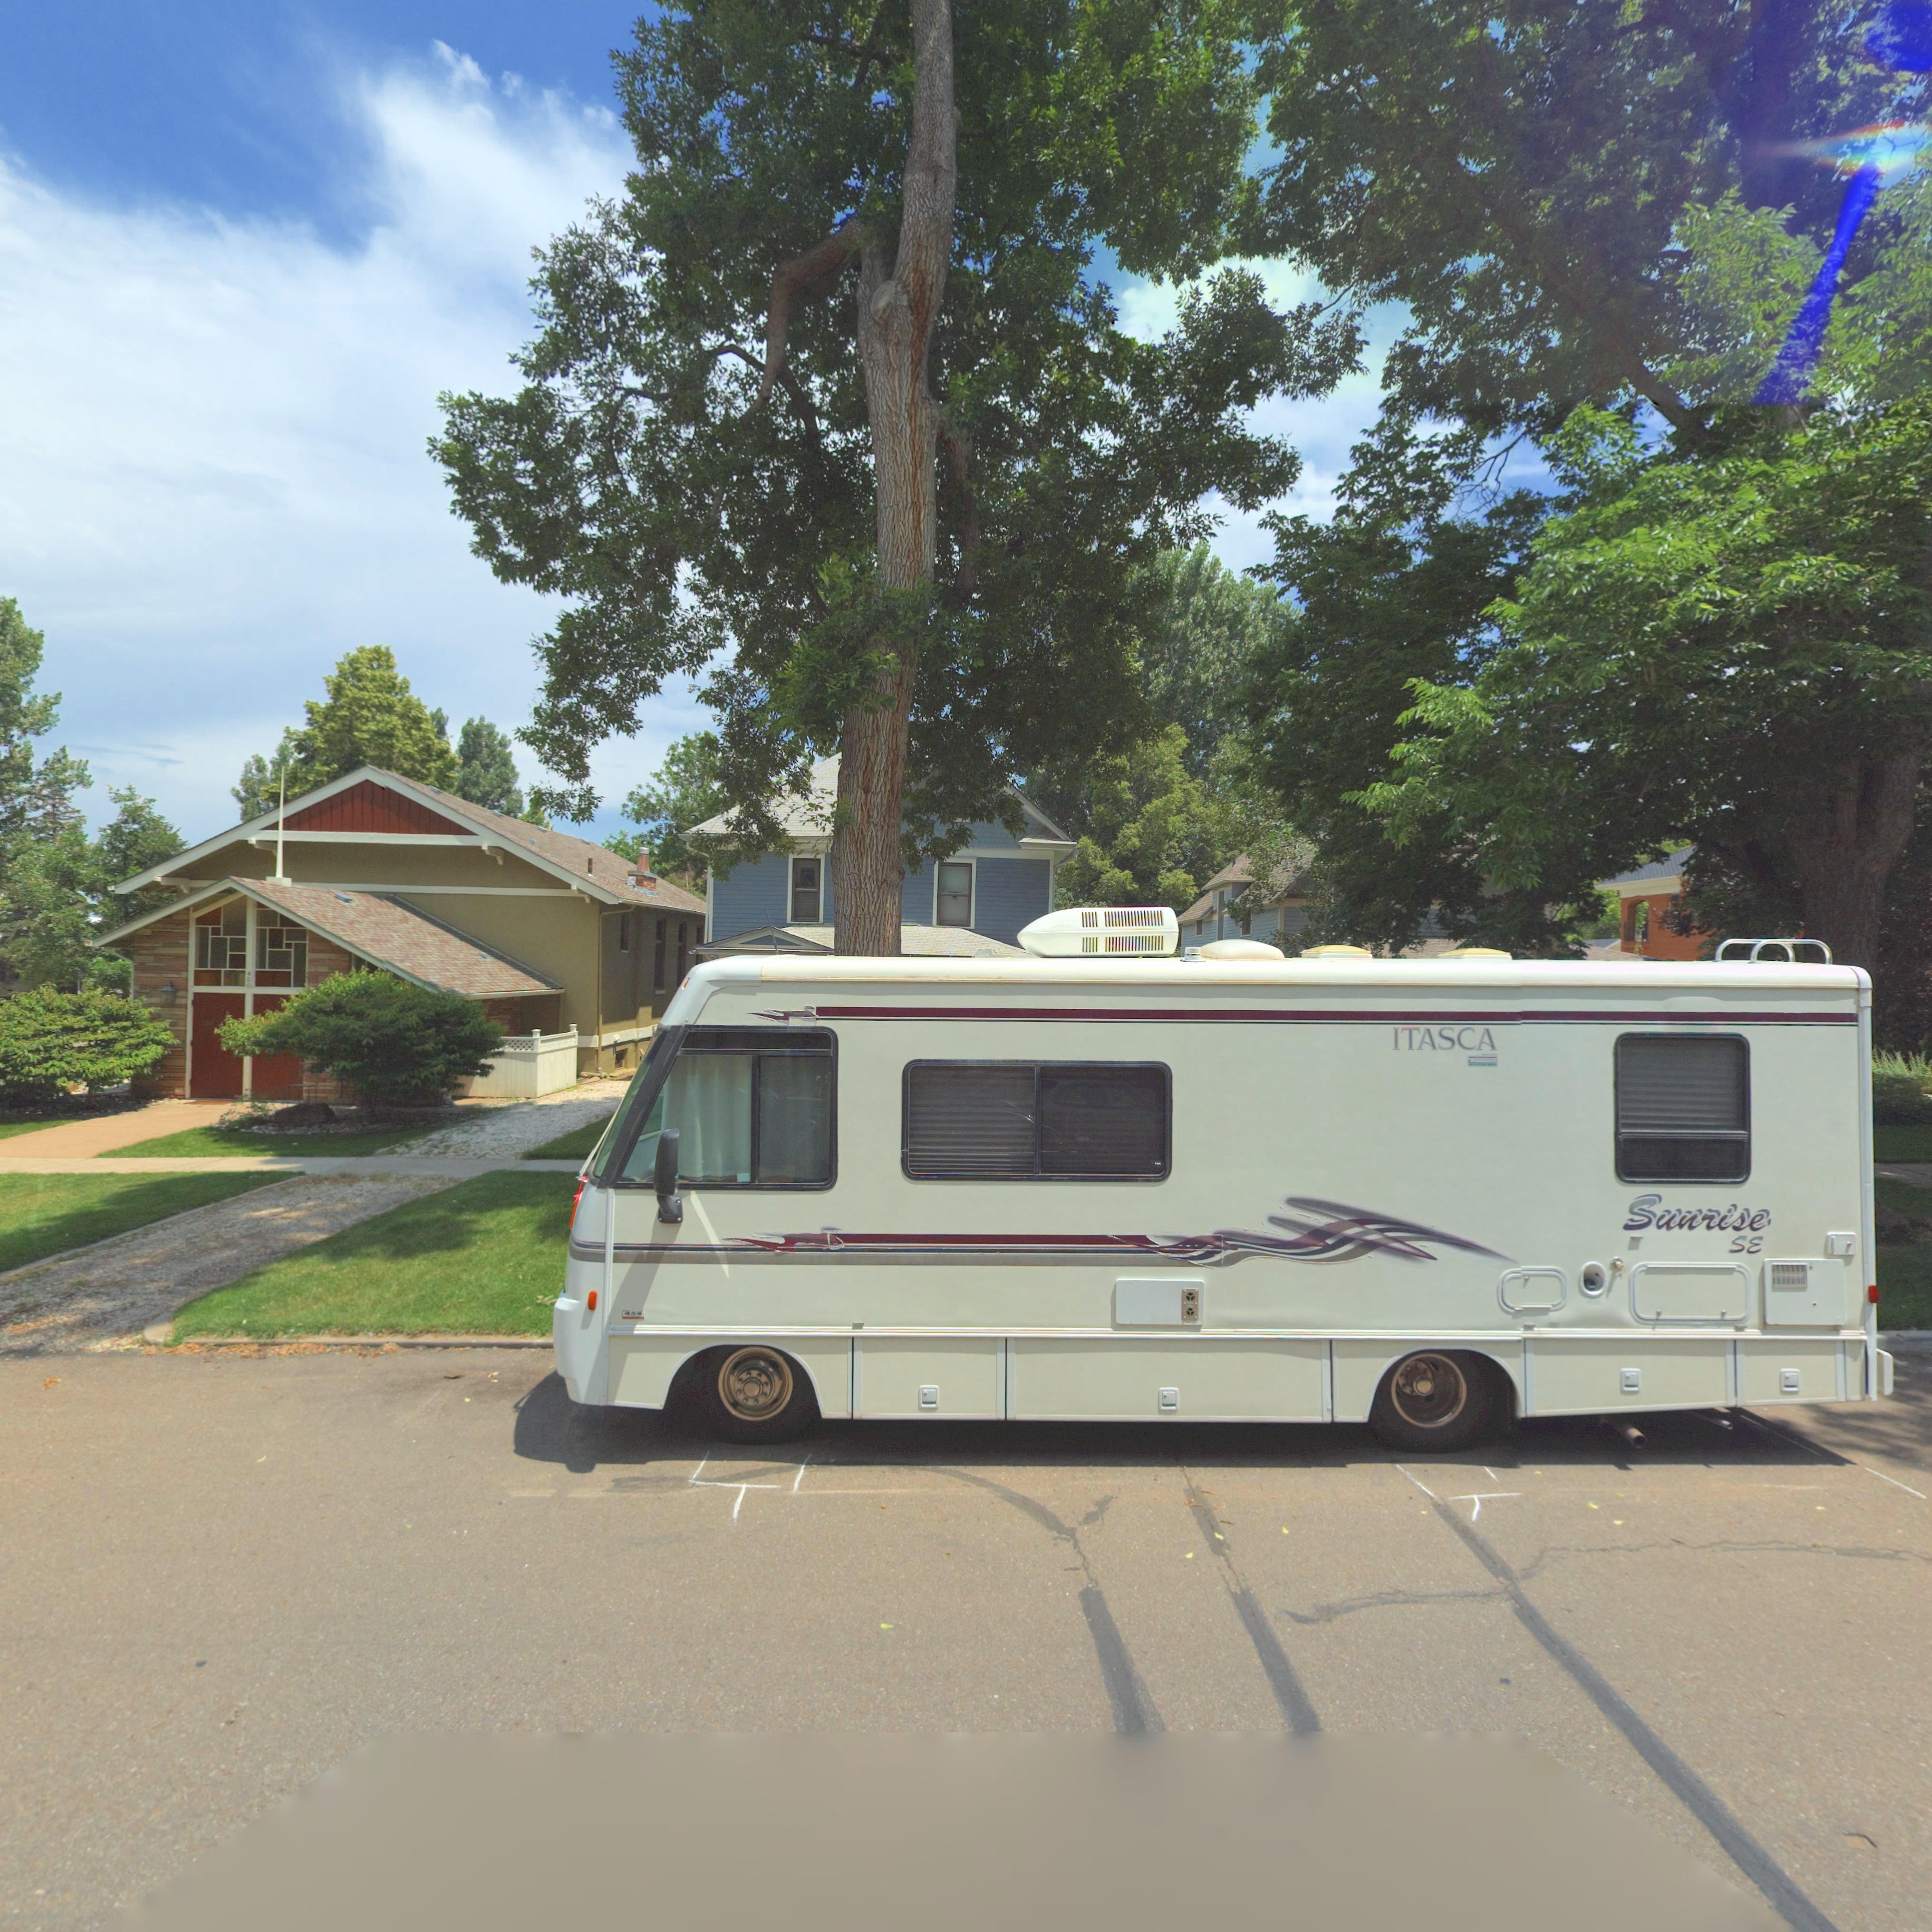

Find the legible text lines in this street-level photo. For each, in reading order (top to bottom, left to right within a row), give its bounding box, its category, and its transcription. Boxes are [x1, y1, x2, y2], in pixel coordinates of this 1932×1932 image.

[246, 971, 251, 988] StreetNumber: 450